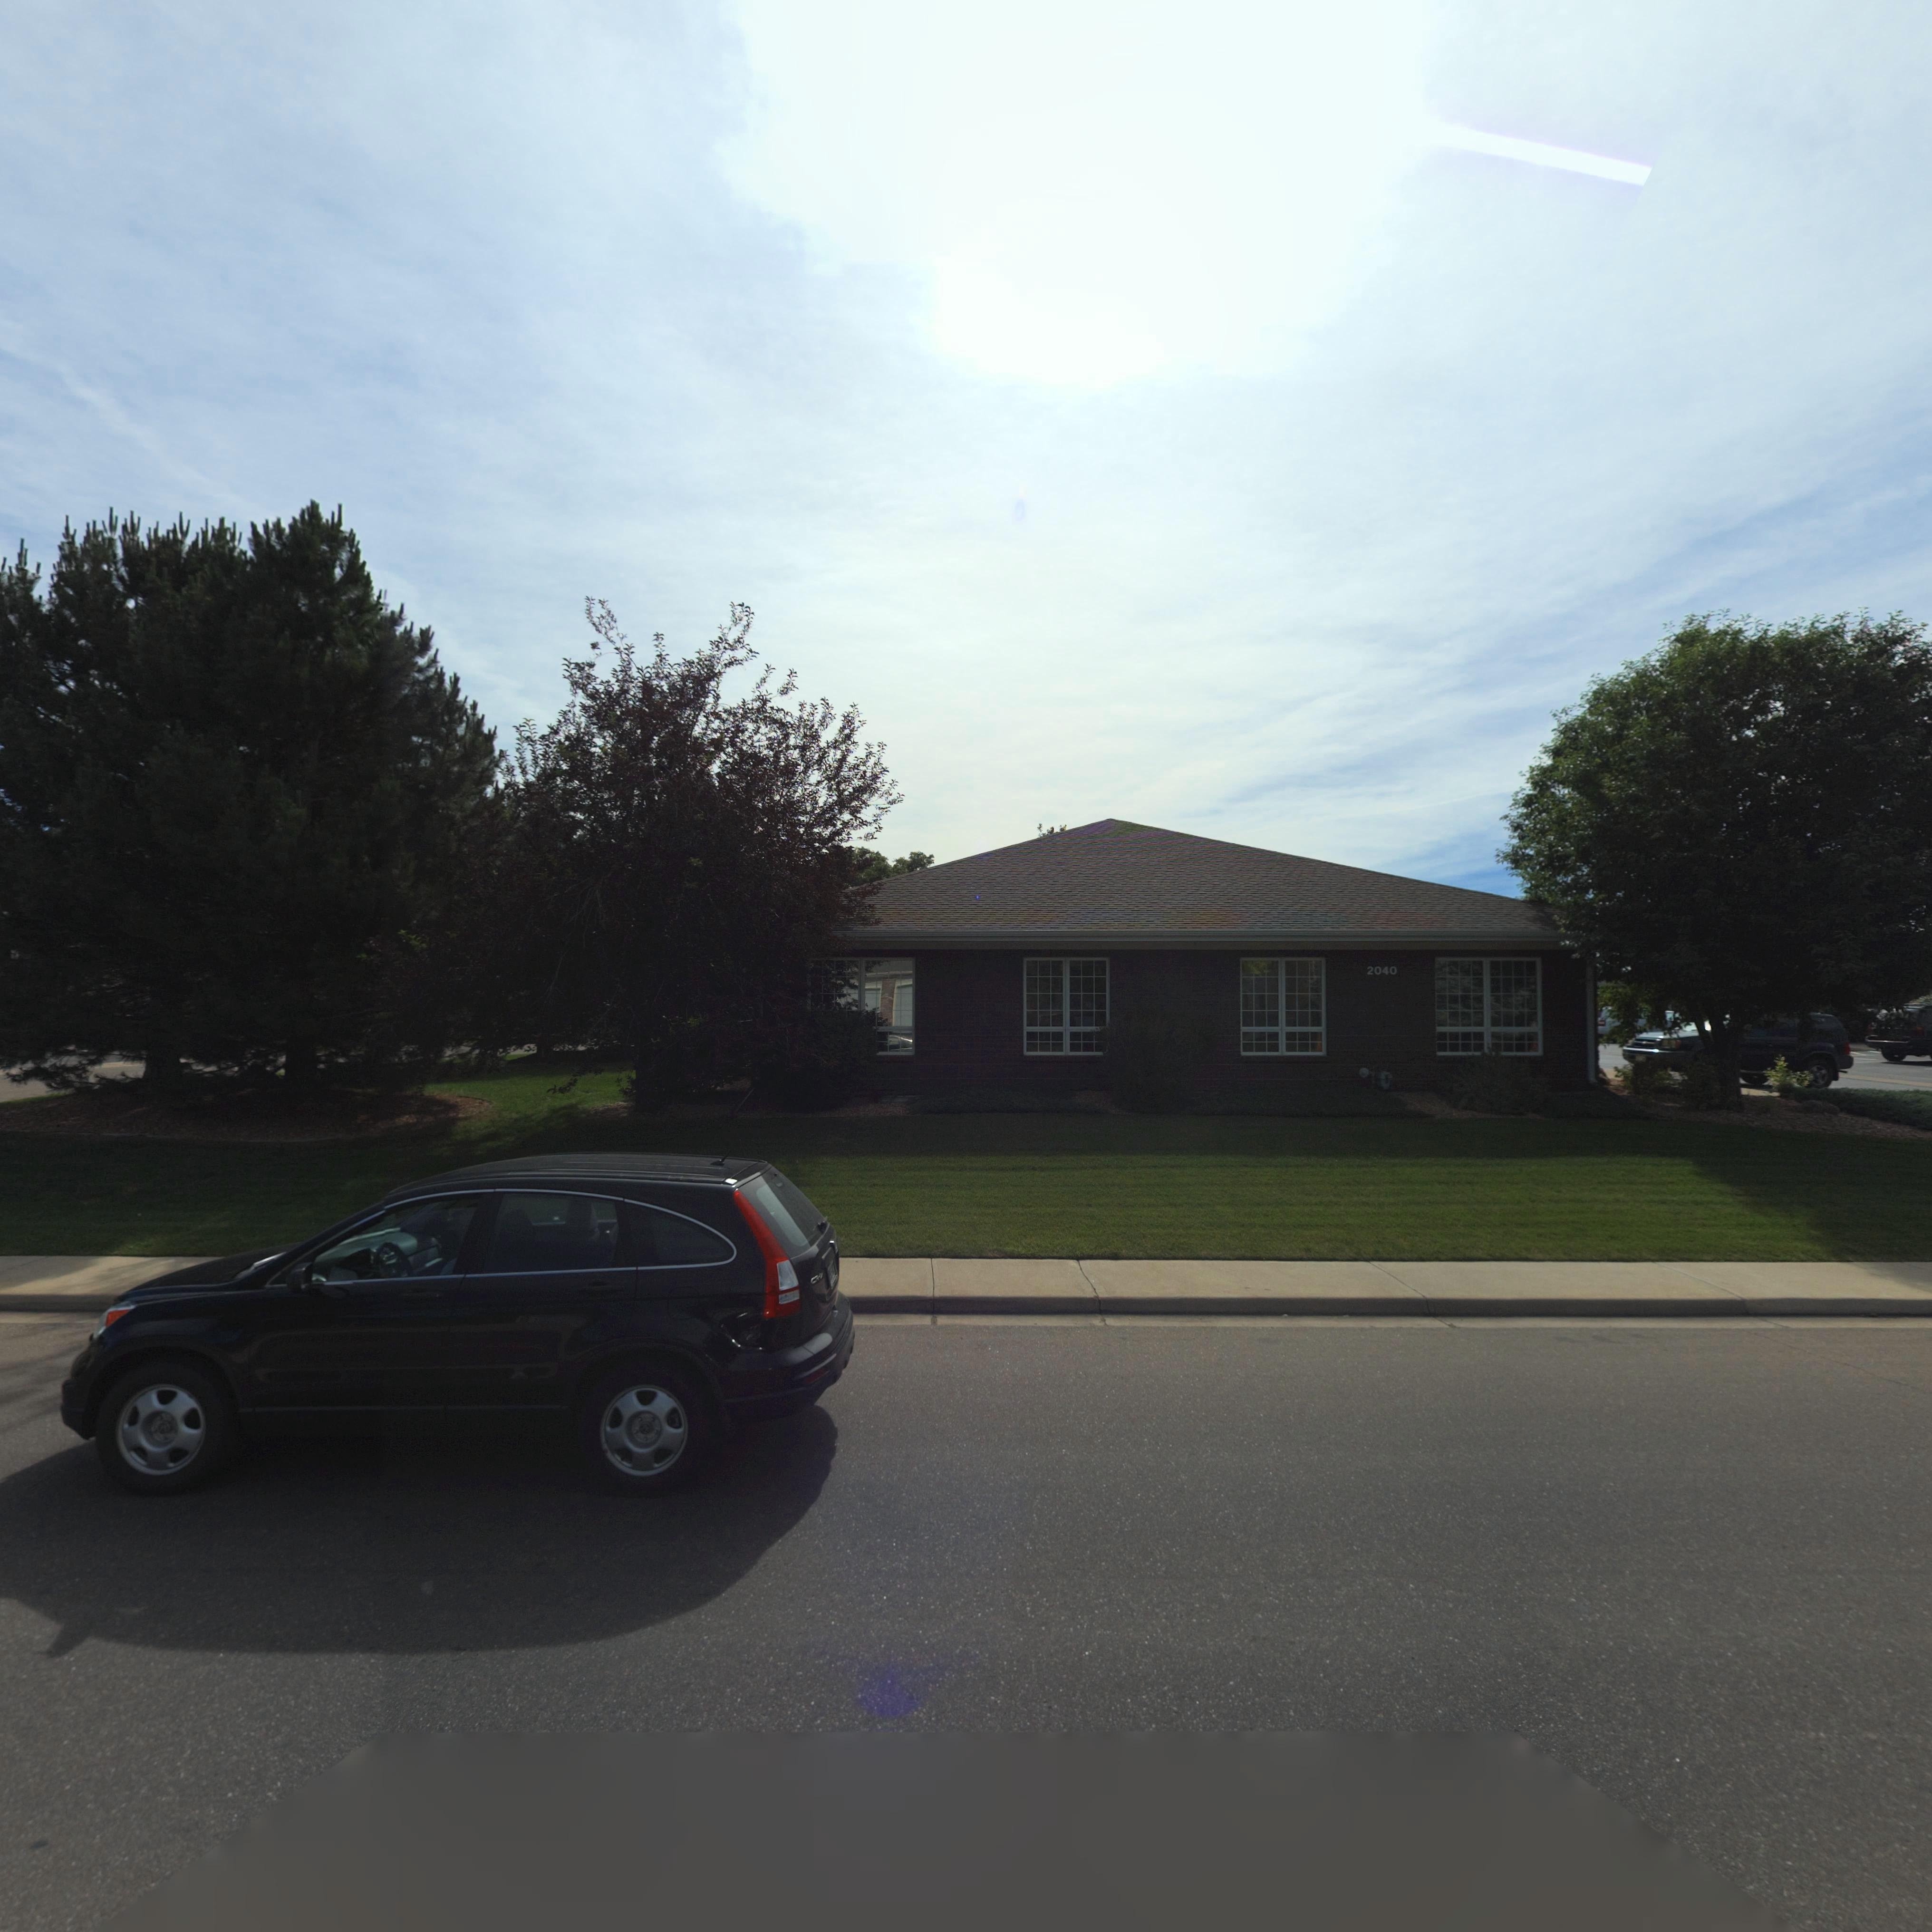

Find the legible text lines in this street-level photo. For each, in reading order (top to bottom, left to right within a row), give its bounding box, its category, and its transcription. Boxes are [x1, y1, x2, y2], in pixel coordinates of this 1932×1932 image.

[1366, 966, 1397, 975] StreetNumber: 2040